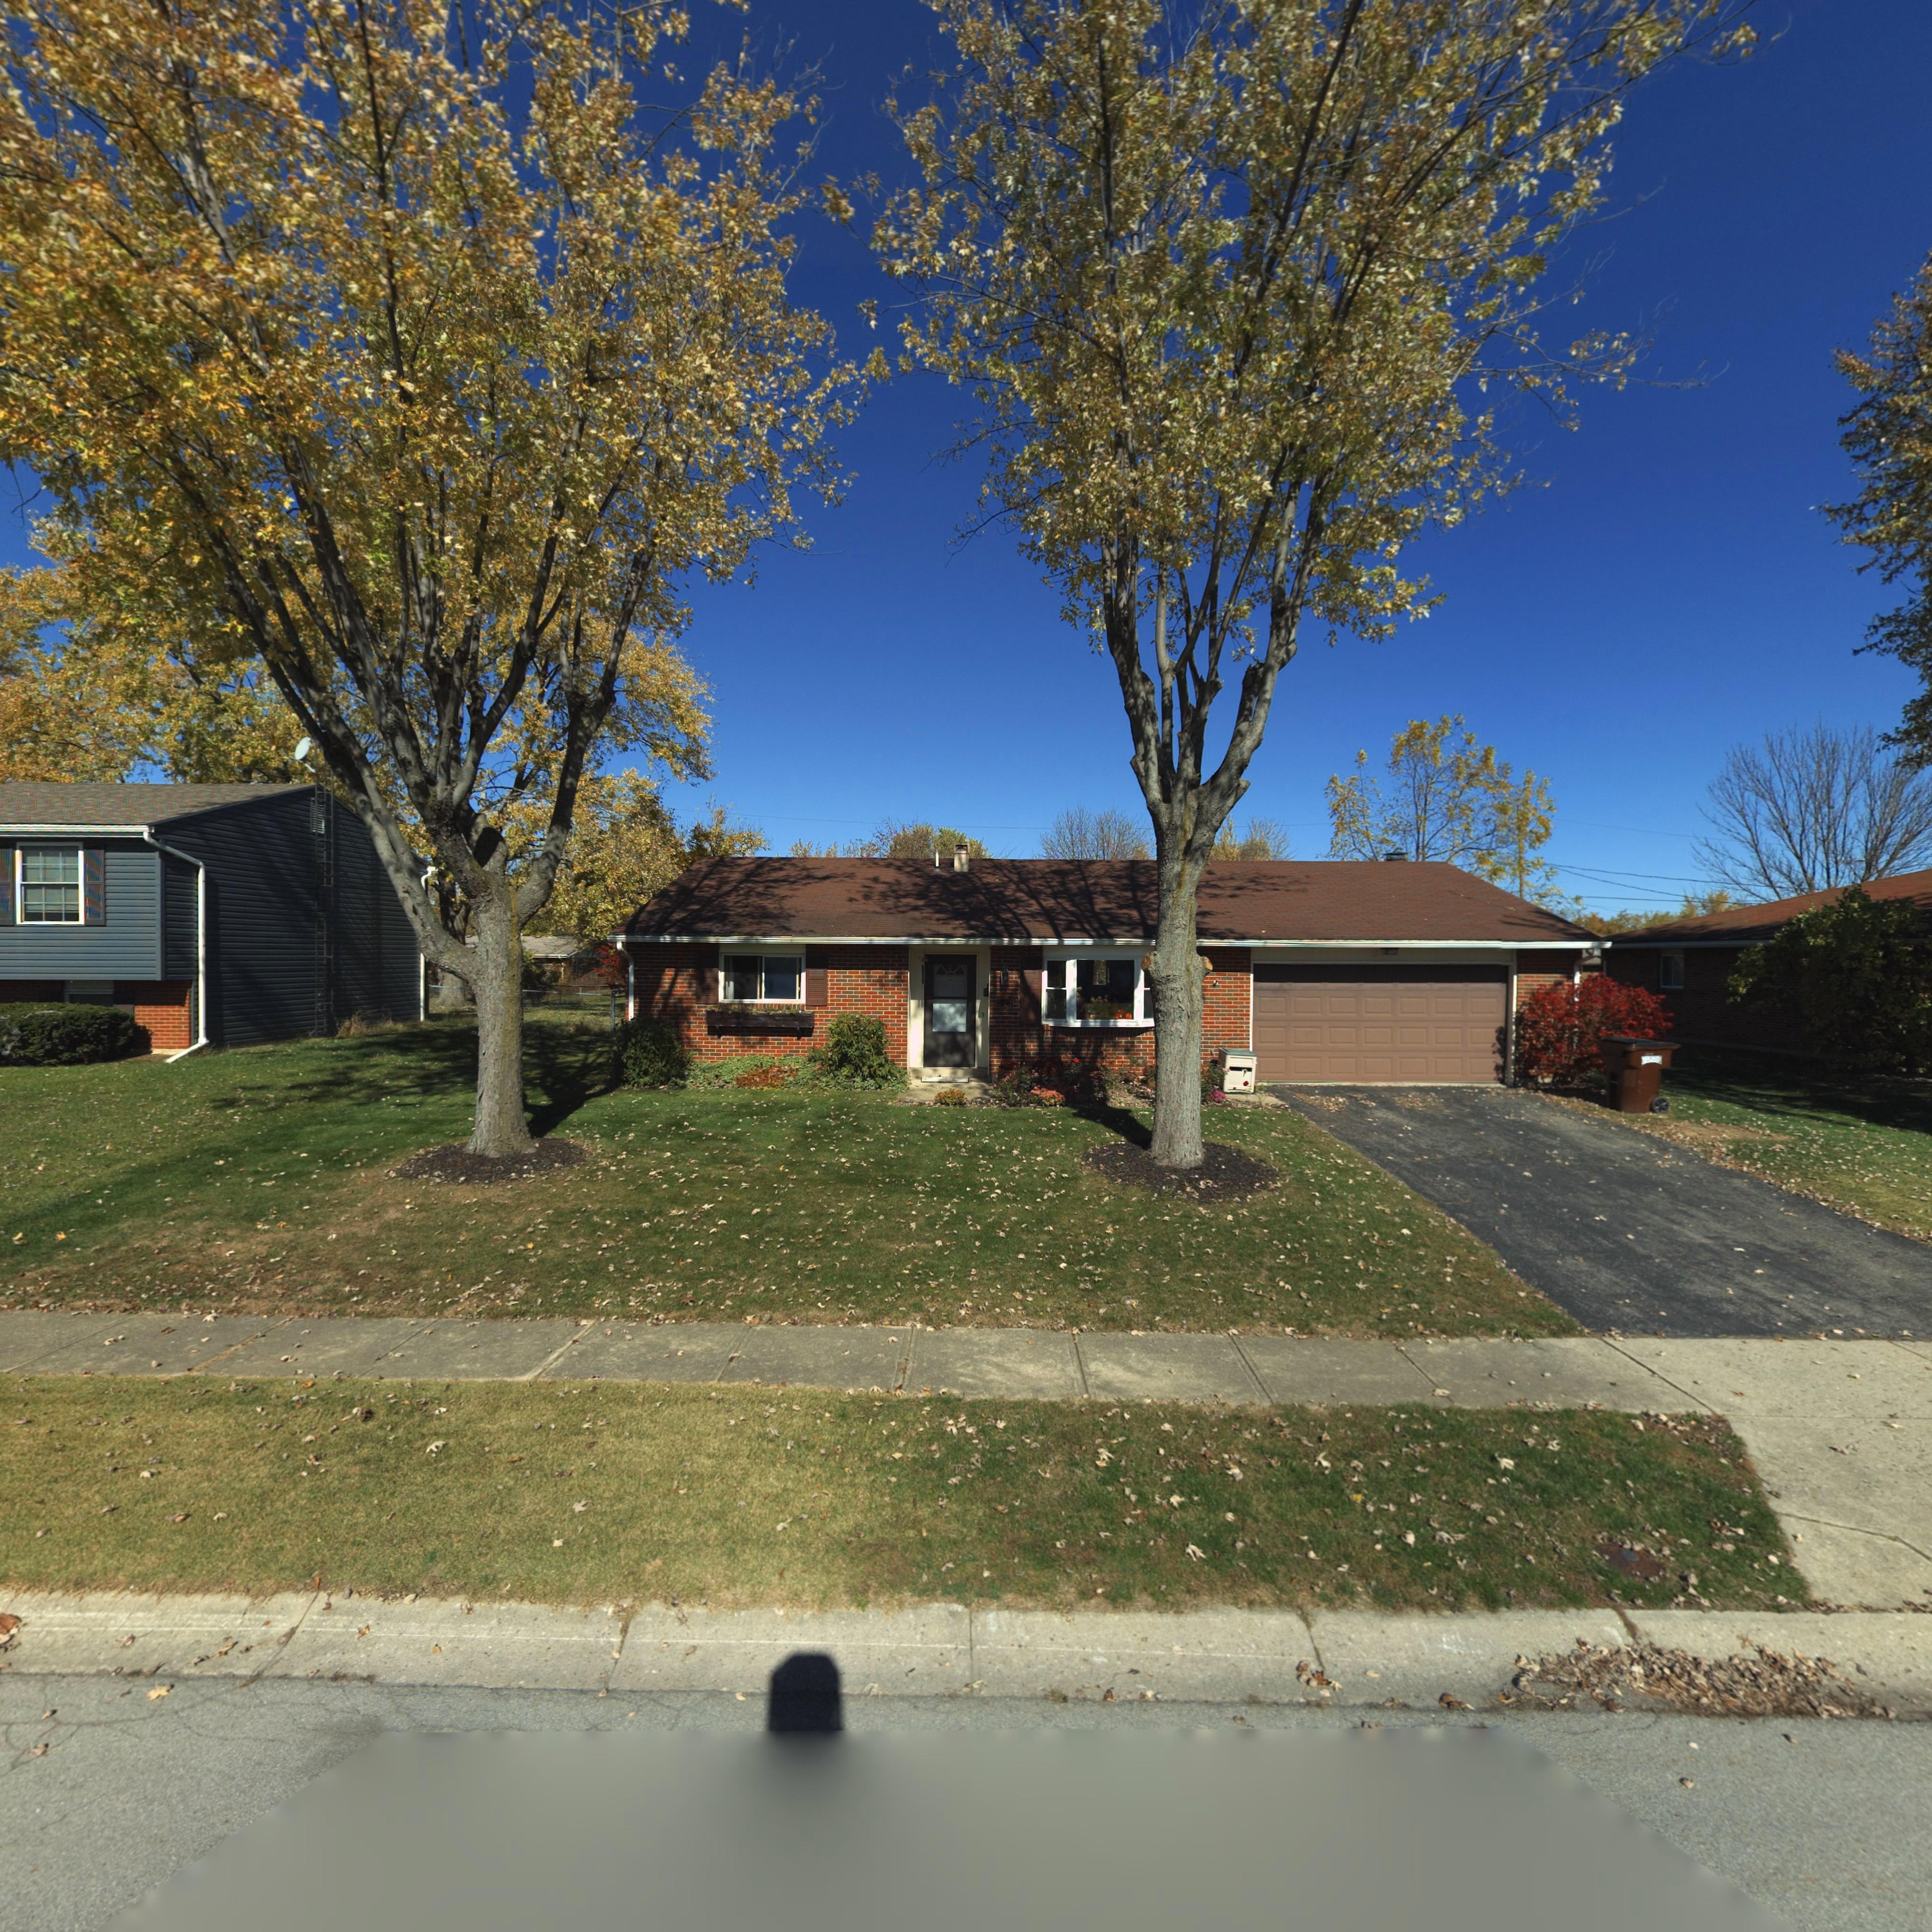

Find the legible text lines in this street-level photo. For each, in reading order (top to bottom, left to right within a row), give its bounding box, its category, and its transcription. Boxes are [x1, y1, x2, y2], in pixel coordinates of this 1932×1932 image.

[997, 1000, 1013, 1006] StreetNumber: 217